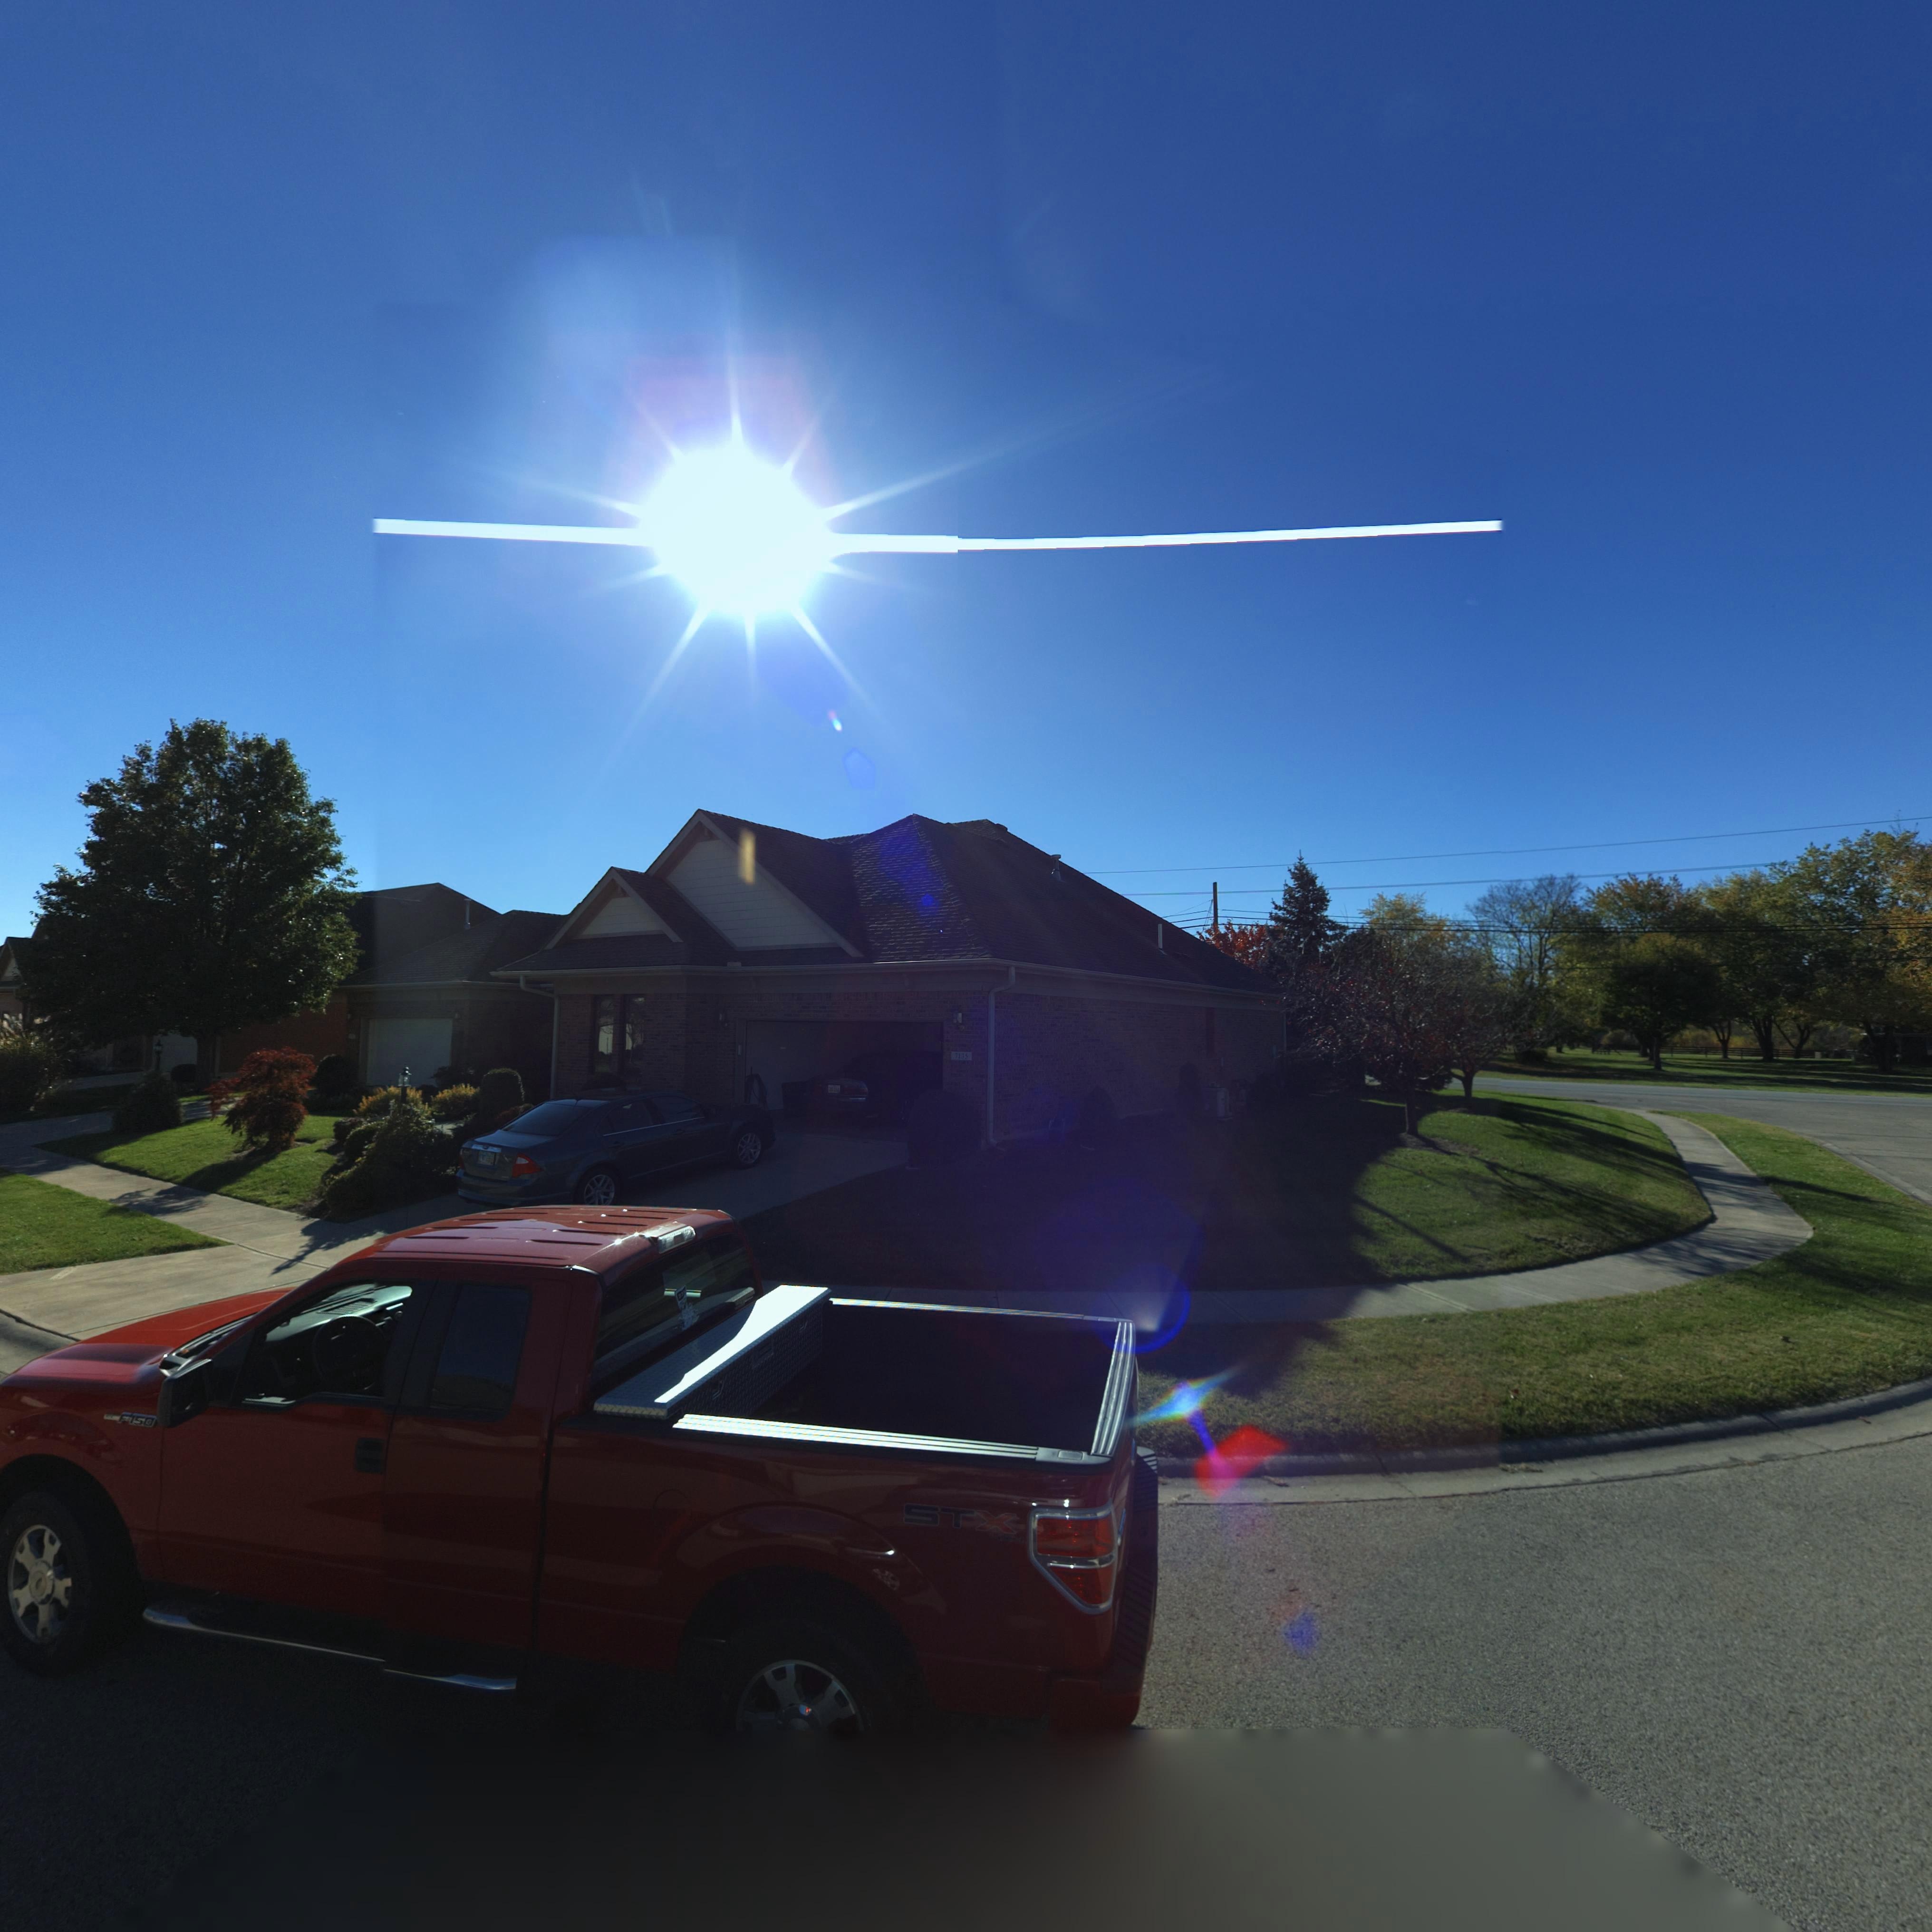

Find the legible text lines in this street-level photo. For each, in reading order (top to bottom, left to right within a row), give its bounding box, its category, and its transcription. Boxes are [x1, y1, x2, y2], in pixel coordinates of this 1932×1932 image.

[954, 1052, 969, 1060] StreetNumber: 7135